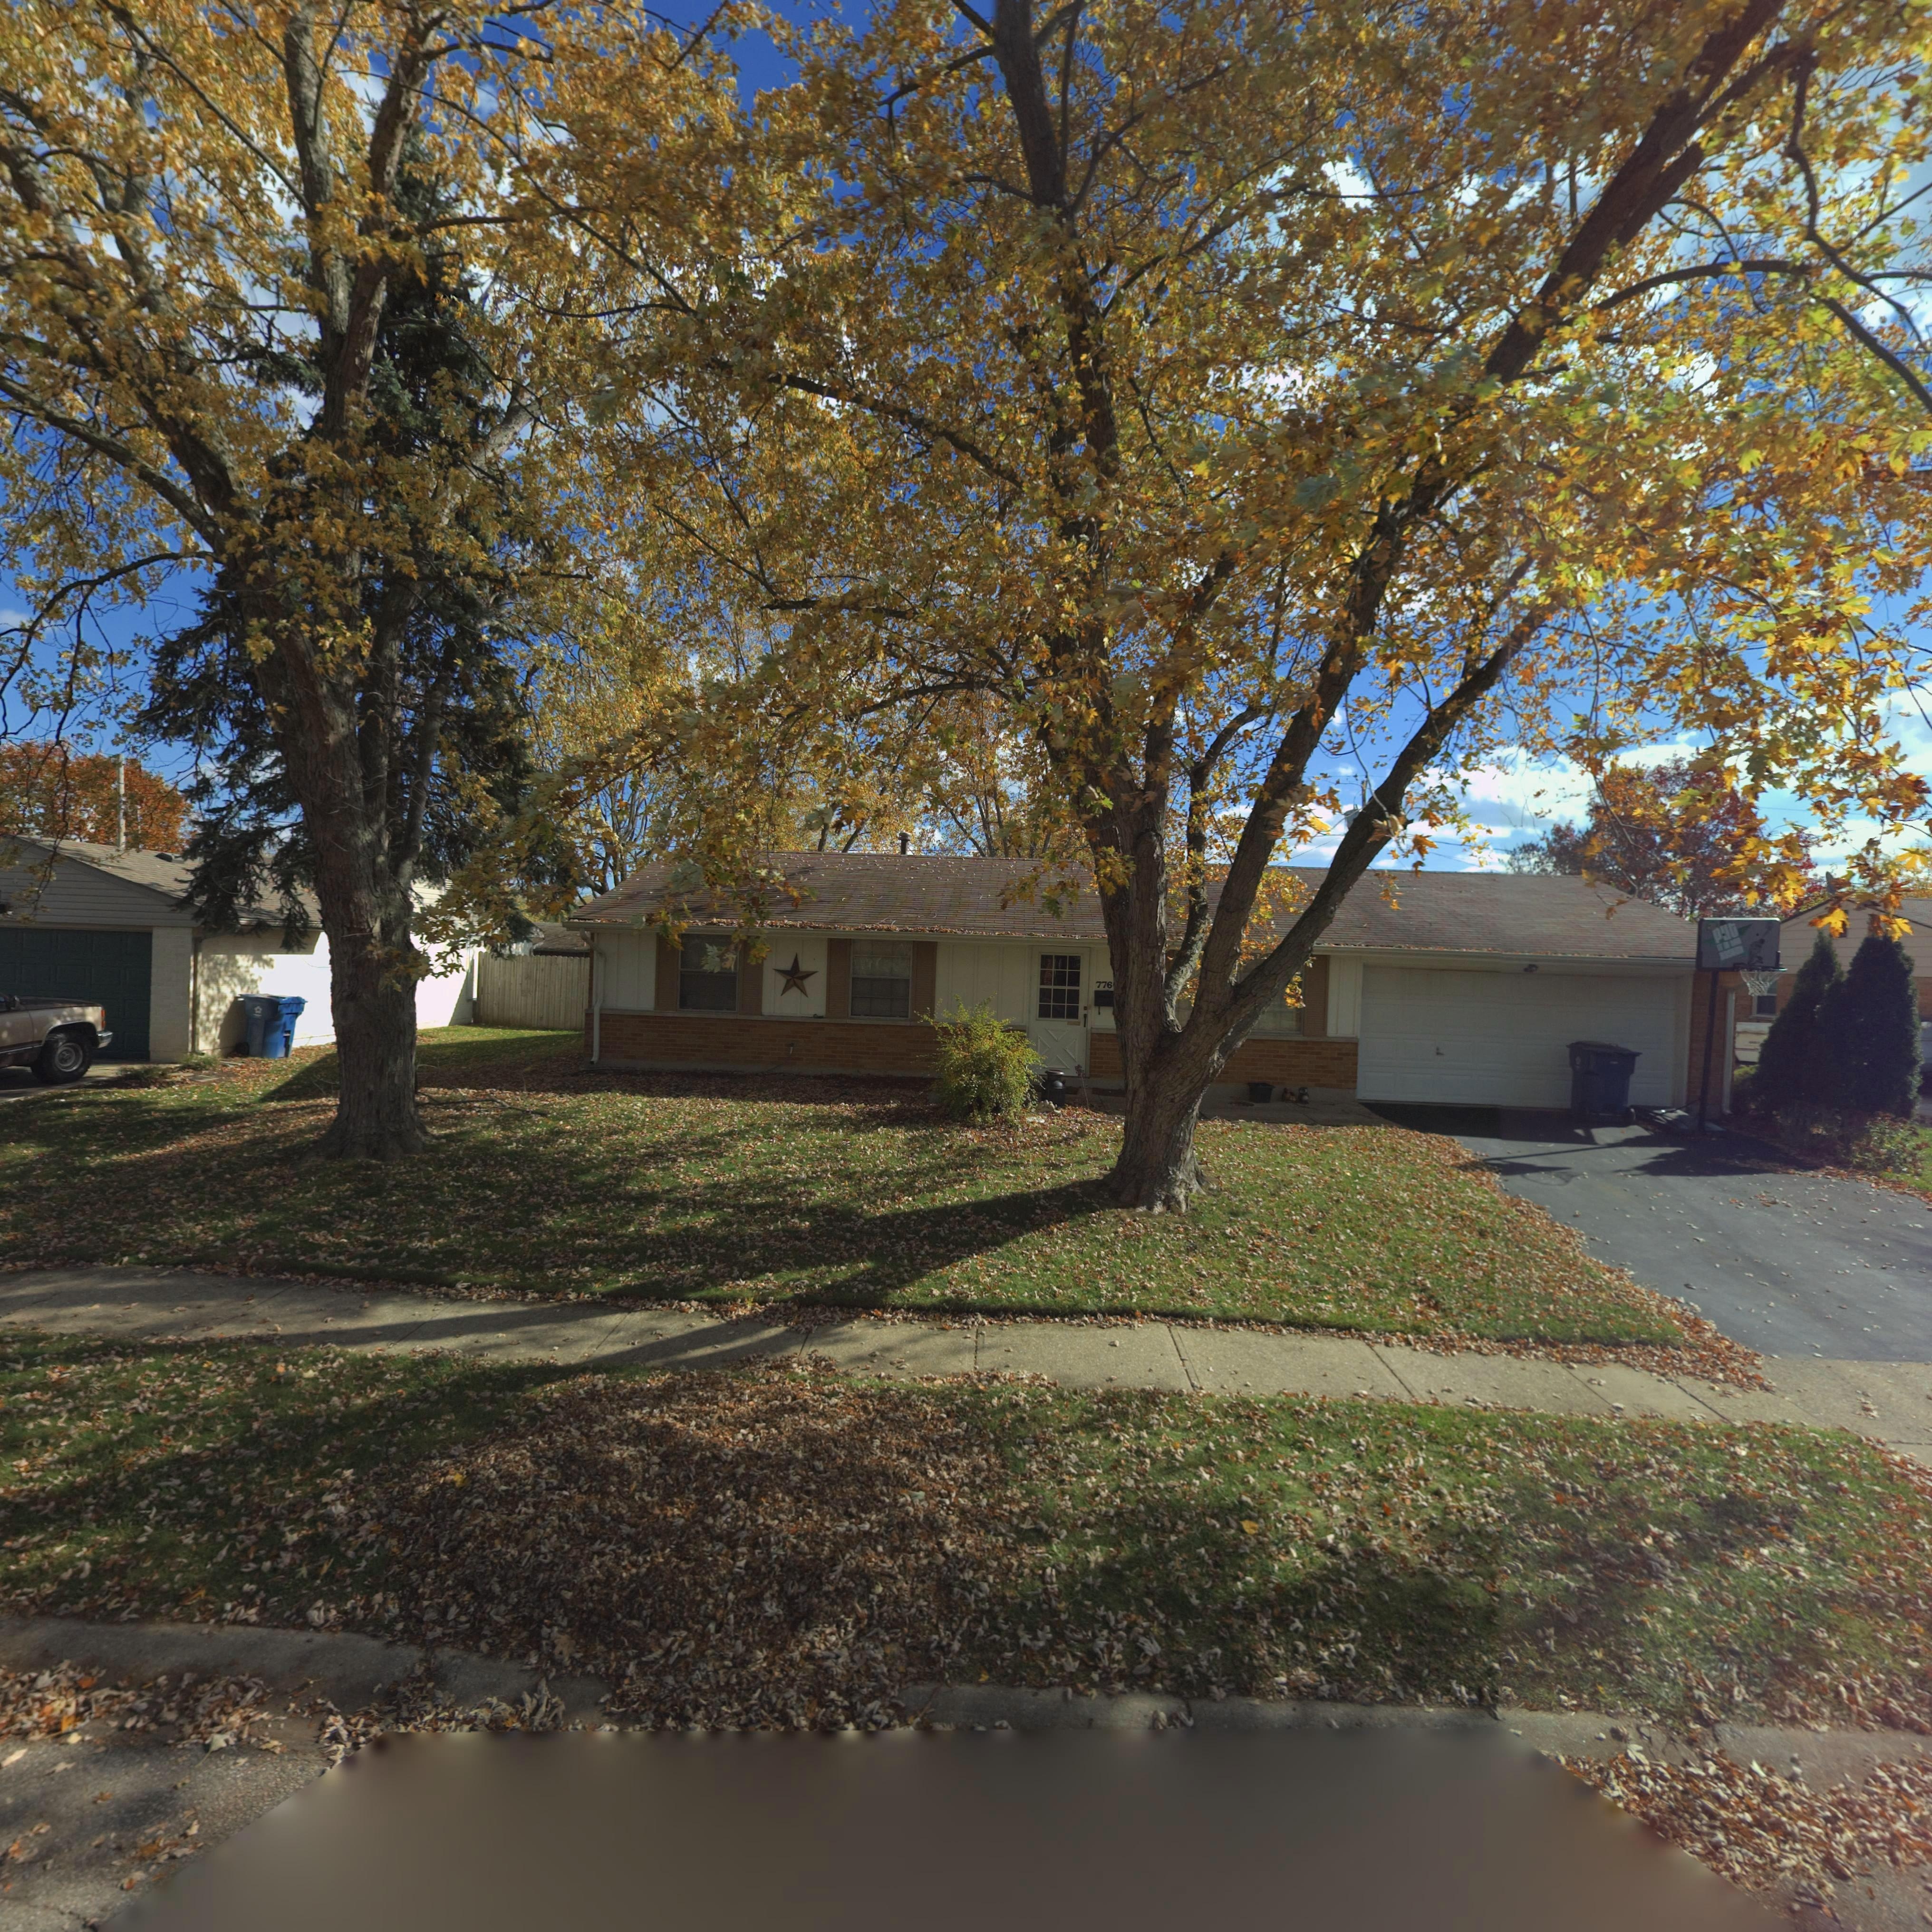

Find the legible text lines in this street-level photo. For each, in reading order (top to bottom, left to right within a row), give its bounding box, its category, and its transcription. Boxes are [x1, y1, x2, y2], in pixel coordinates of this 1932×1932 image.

[1095, 981, 1113, 989] StreetNumber: 776